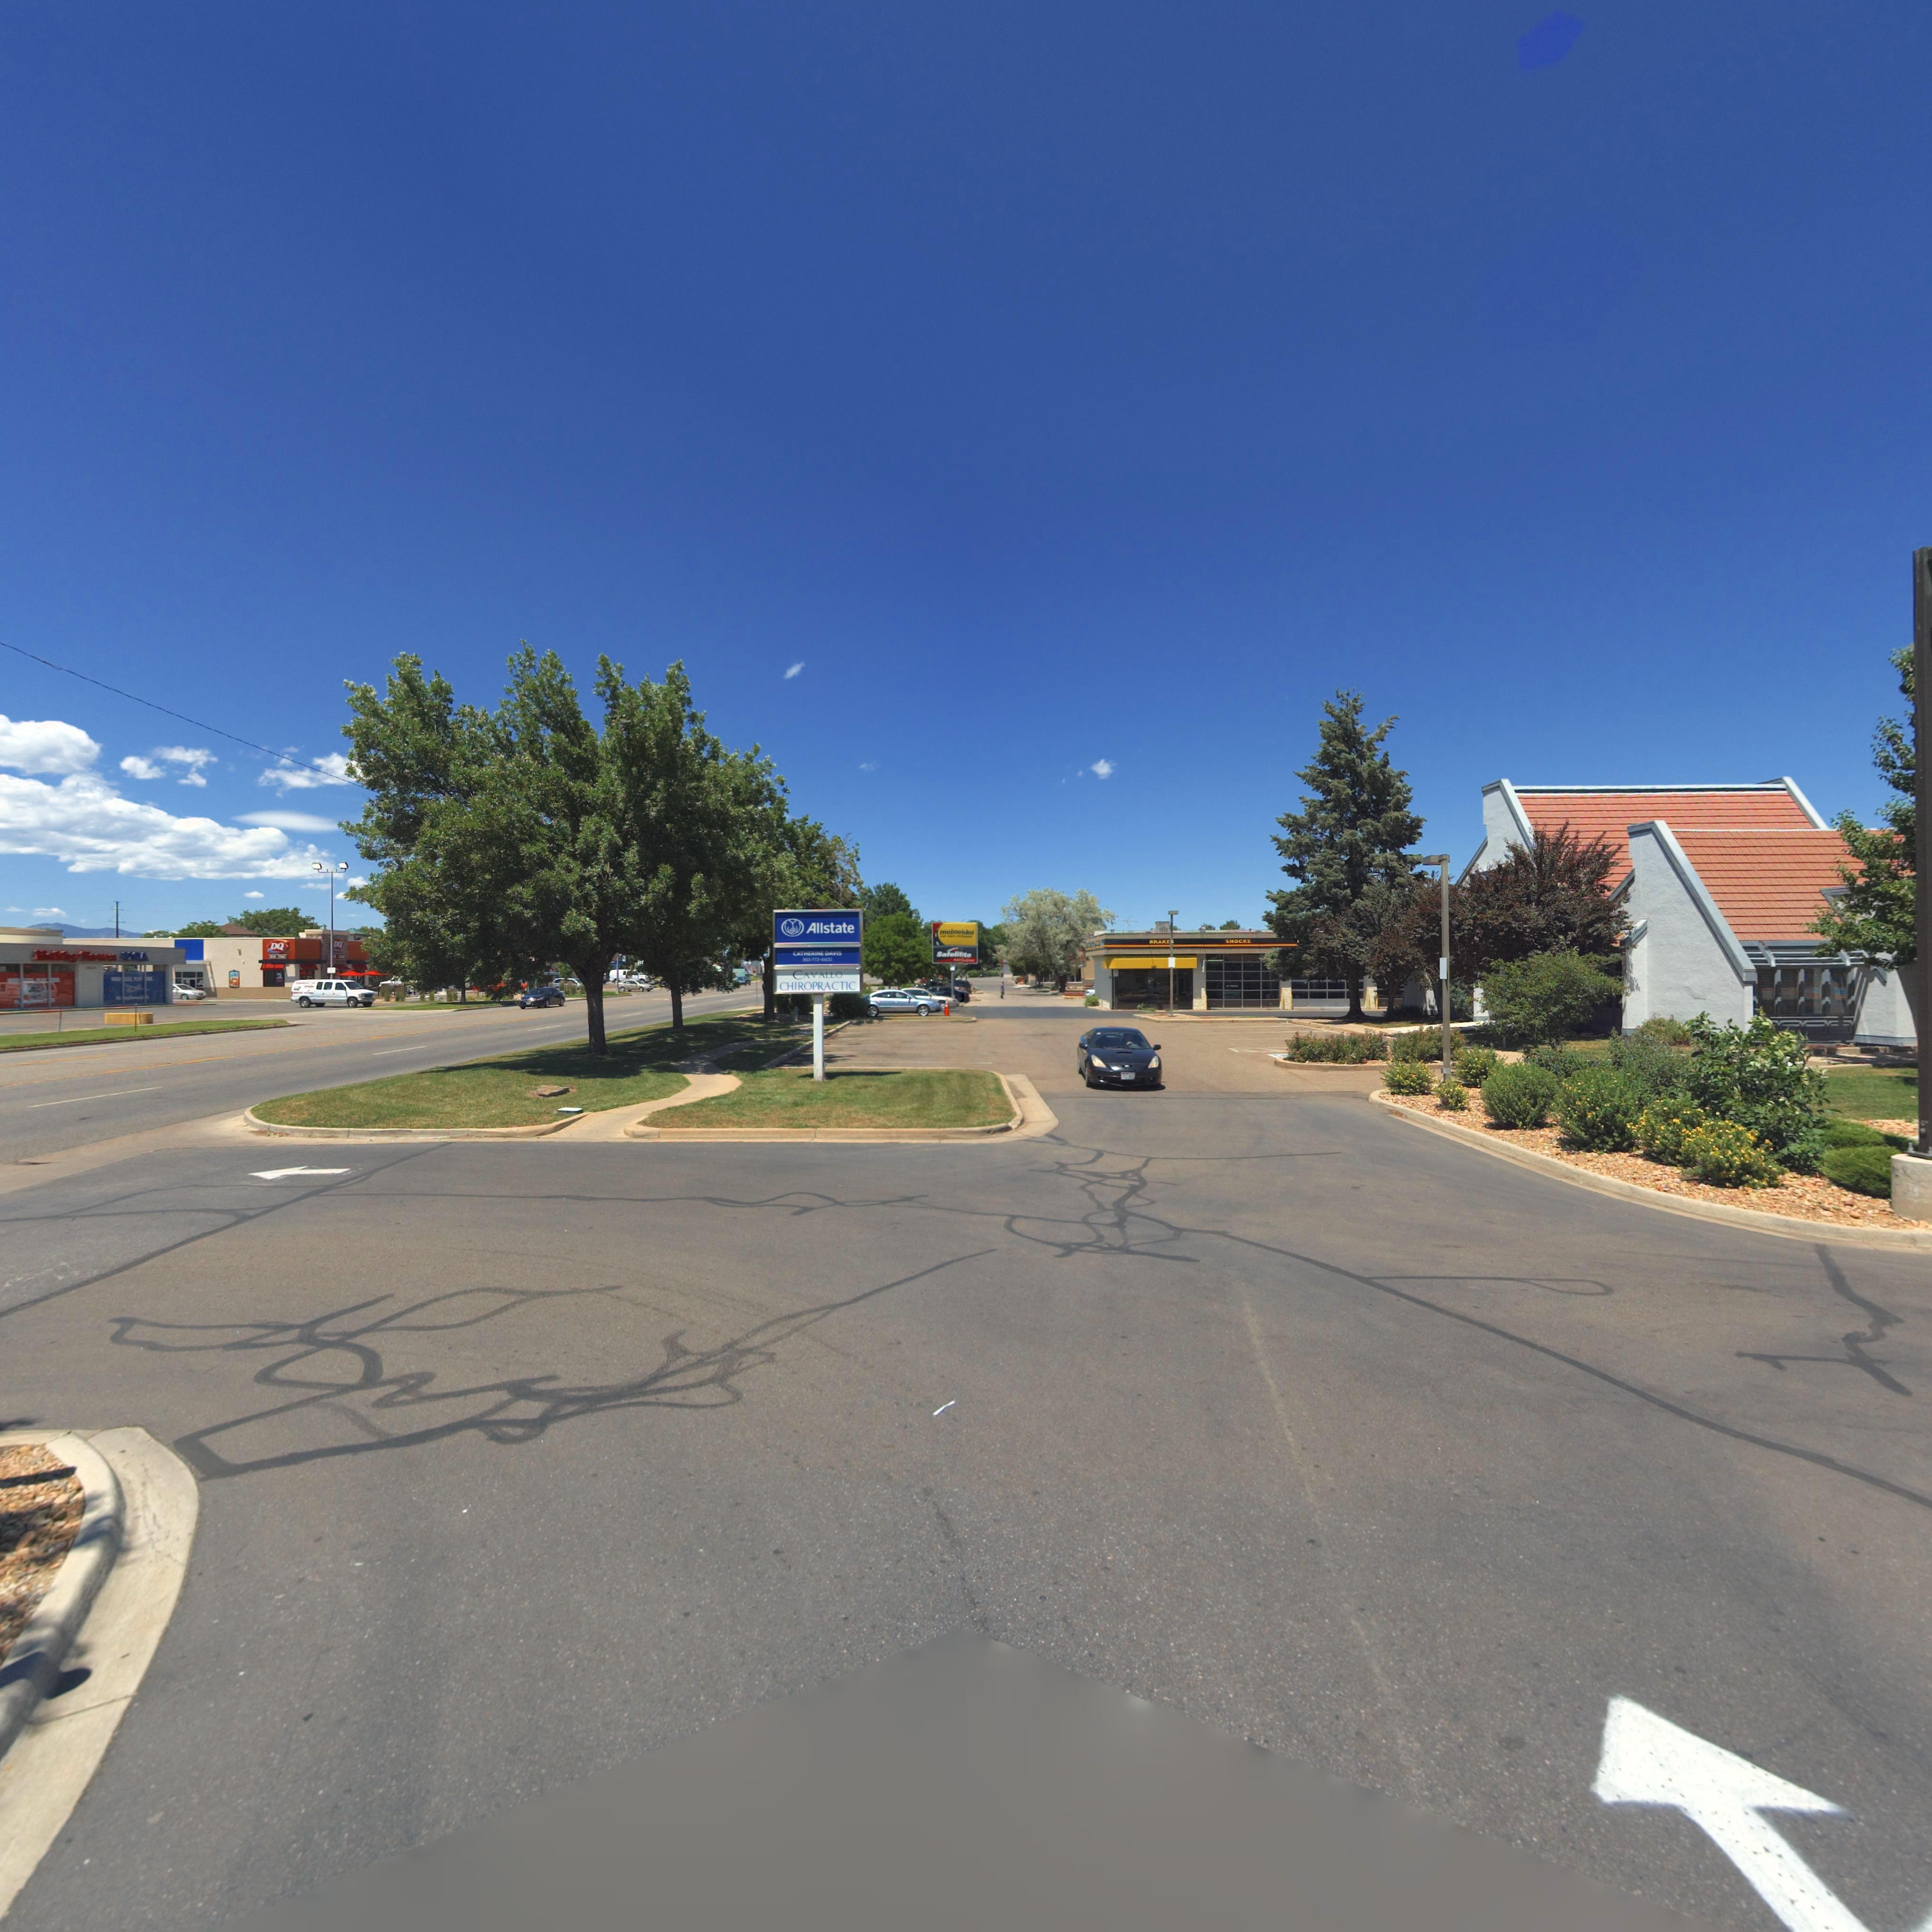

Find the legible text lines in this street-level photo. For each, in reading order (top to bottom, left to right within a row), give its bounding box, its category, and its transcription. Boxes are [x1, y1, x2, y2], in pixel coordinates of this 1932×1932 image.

[805, 921, 854, 934] BusinessName: Allstate
[939, 928, 974, 935] BusinessName: meineke
[270, 942, 284, 951] BusinessName: DQ
[333, 940, 342, 948] BusinessName: DQ
[33, 948, 150, 964] BusinessName: Hobby Town USA
[936, 950, 972, 958] BusinessName: Safelitite
[792, 970, 842, 980] BusinessName: CAVALLO
[779, 981, 856, 991] BusinessName: CHIROPRACTIC
[14, 997, 56, 1005] BusinessName: H****T*** **A
[116, 994, 150, 1001] BusinessName: H***yT*** U*A